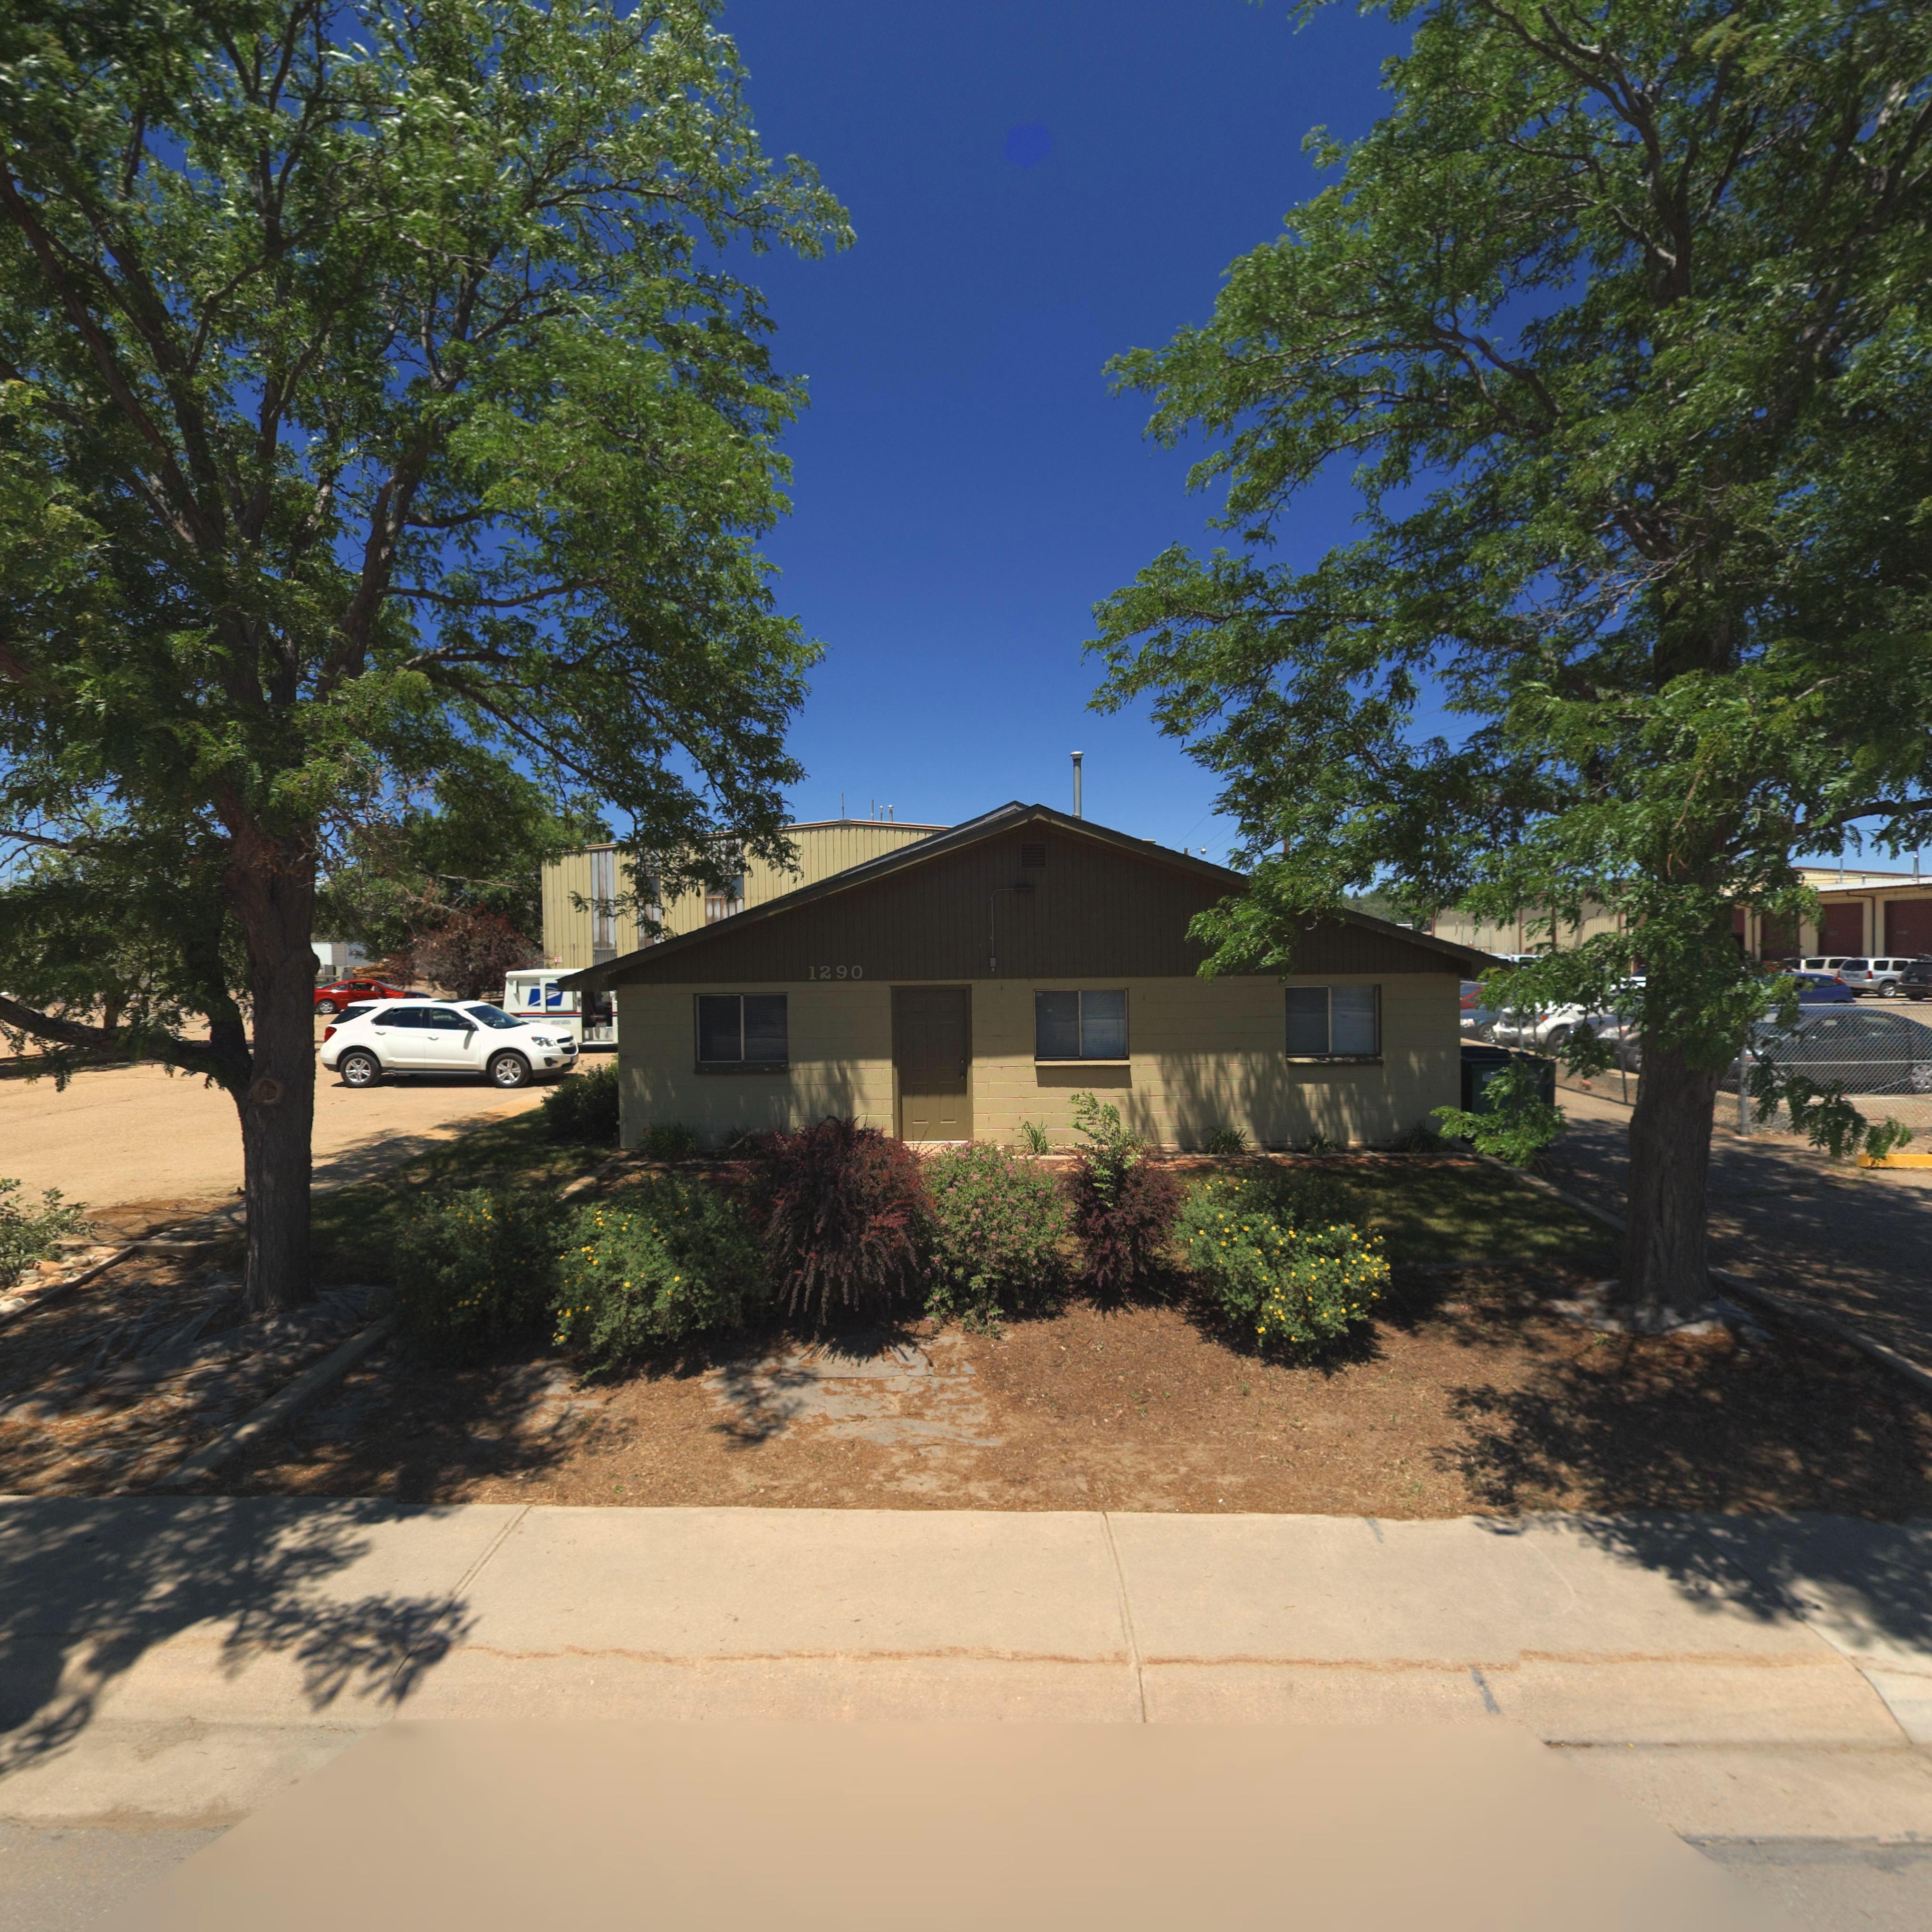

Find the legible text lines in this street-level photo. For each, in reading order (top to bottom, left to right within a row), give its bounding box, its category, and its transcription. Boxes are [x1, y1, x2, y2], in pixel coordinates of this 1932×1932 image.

[808, 964, 863, 980] StreetNumber: 1290